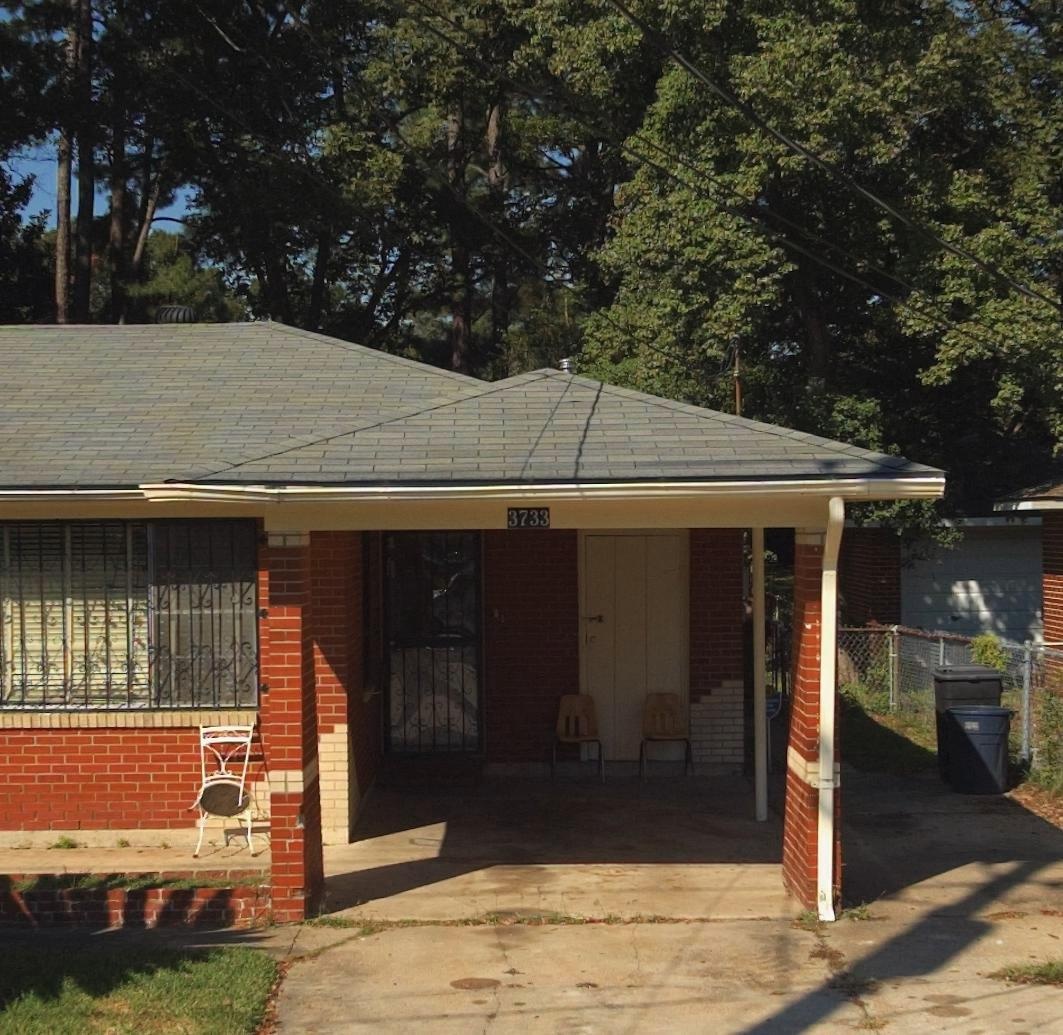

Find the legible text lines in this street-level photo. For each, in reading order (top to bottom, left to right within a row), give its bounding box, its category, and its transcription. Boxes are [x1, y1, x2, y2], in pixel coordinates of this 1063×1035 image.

[508, 507, 550, 528] StreetNumber: 3733